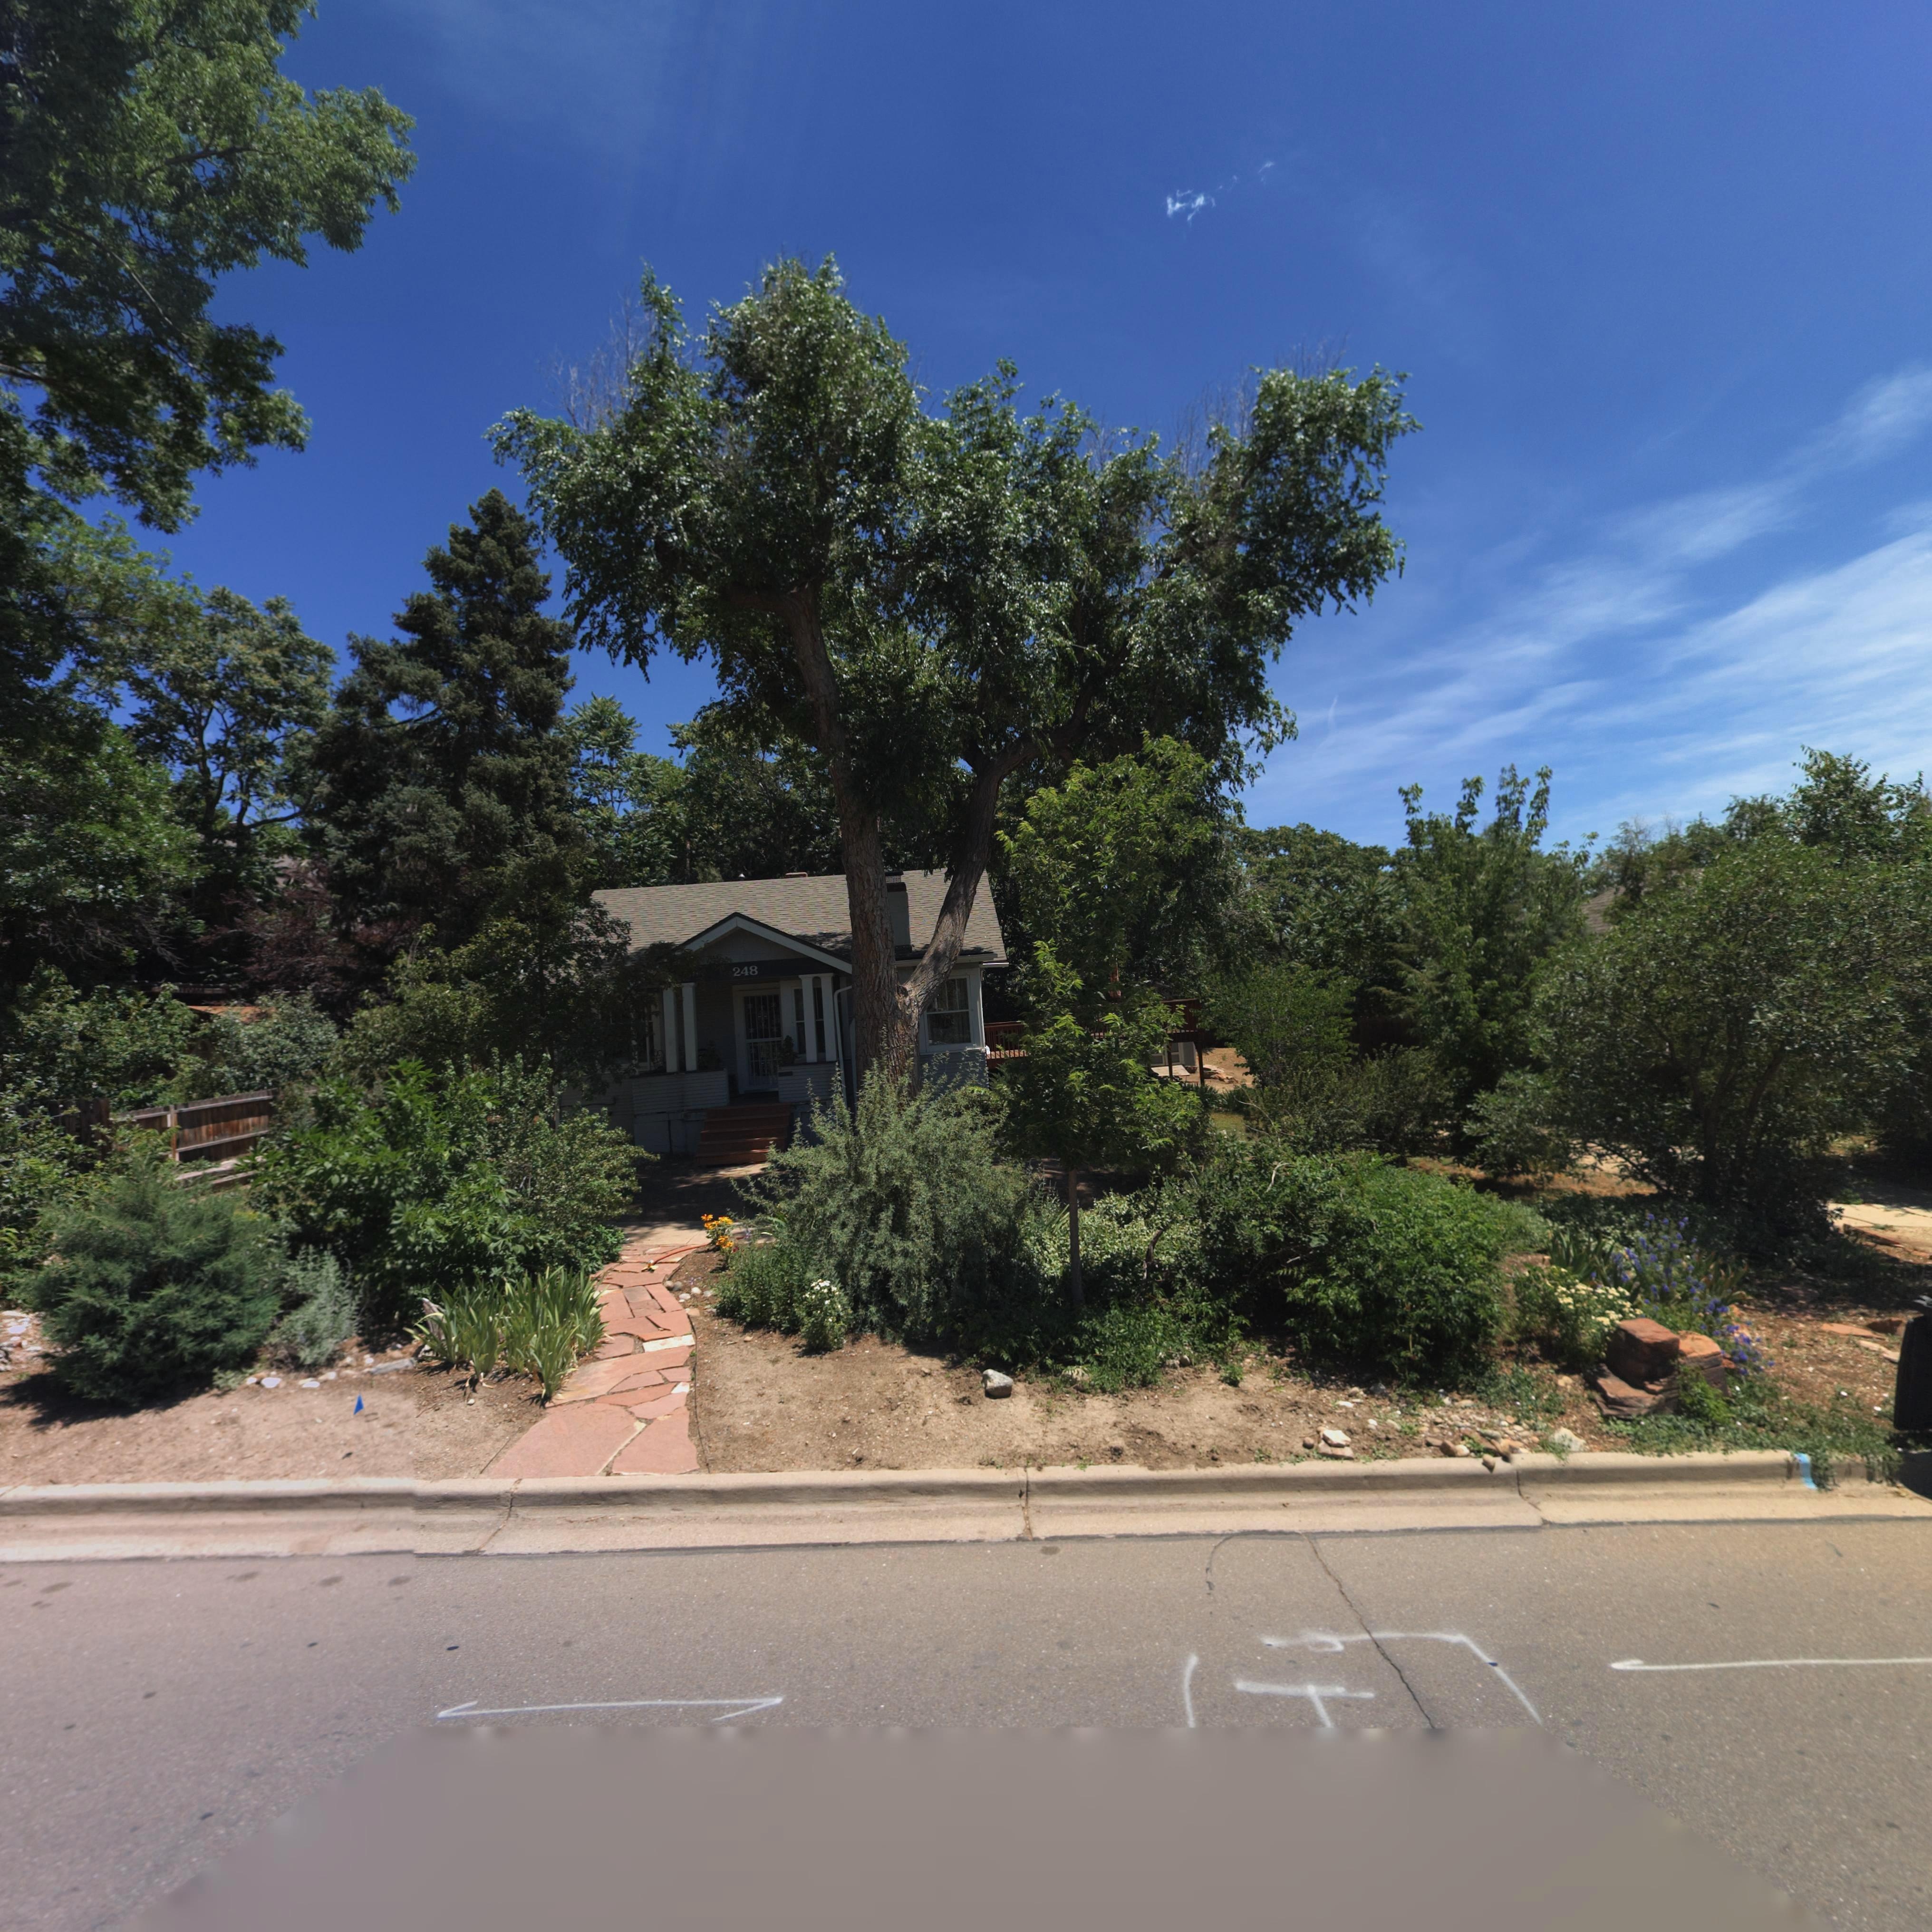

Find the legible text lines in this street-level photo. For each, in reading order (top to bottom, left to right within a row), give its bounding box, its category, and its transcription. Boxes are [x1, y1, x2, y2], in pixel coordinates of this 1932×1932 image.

[732, 965, 758, 977] StreetNumber: 248